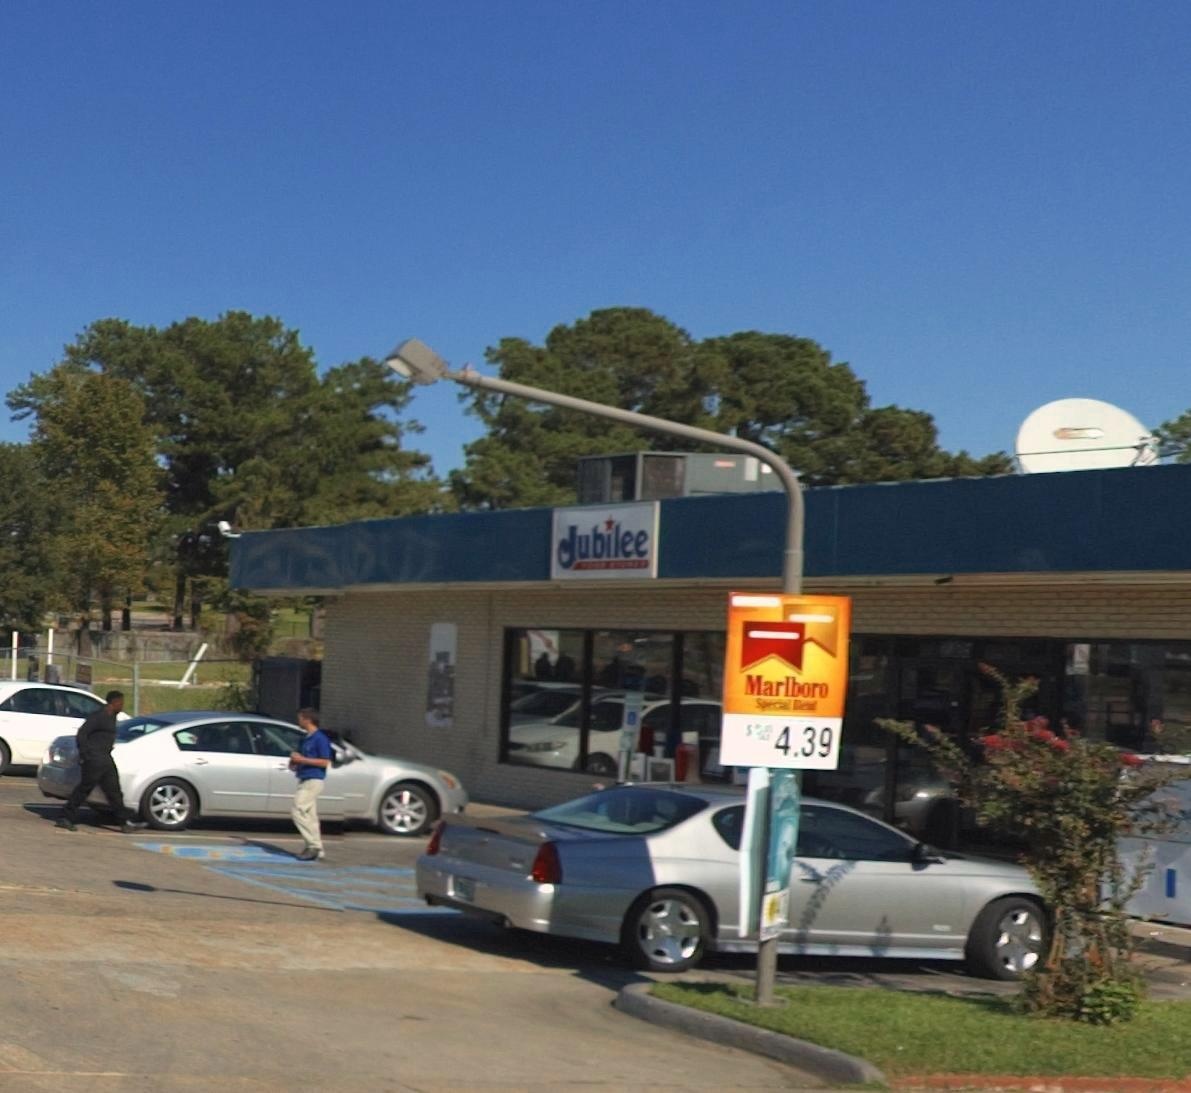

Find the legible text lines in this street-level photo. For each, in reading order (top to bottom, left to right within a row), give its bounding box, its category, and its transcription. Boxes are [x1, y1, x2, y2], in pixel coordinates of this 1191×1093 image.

[555, 520, 651, 570] BusinessName: Jubilee
[743, 674, 830, 699] None: Marlboro
[754, 695, 793, 714] None: Special
[772, 725, 834, 760] None: 4.39